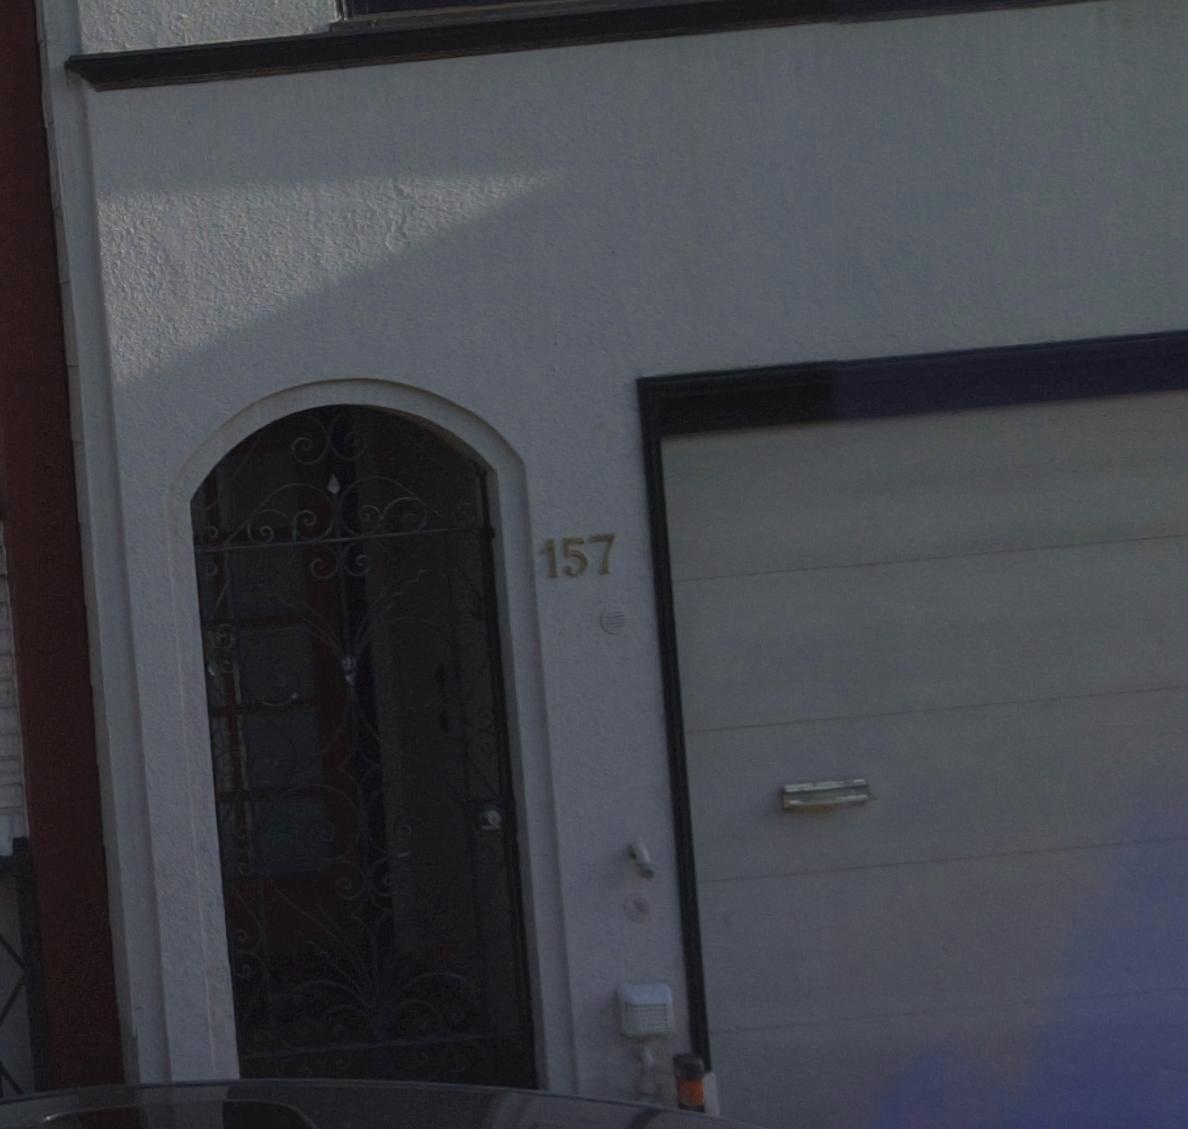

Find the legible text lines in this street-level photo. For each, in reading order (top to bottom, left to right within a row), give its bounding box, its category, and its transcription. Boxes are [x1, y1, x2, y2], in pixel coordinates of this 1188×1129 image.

[538, 524, 622, 585] StreetNumber: 157